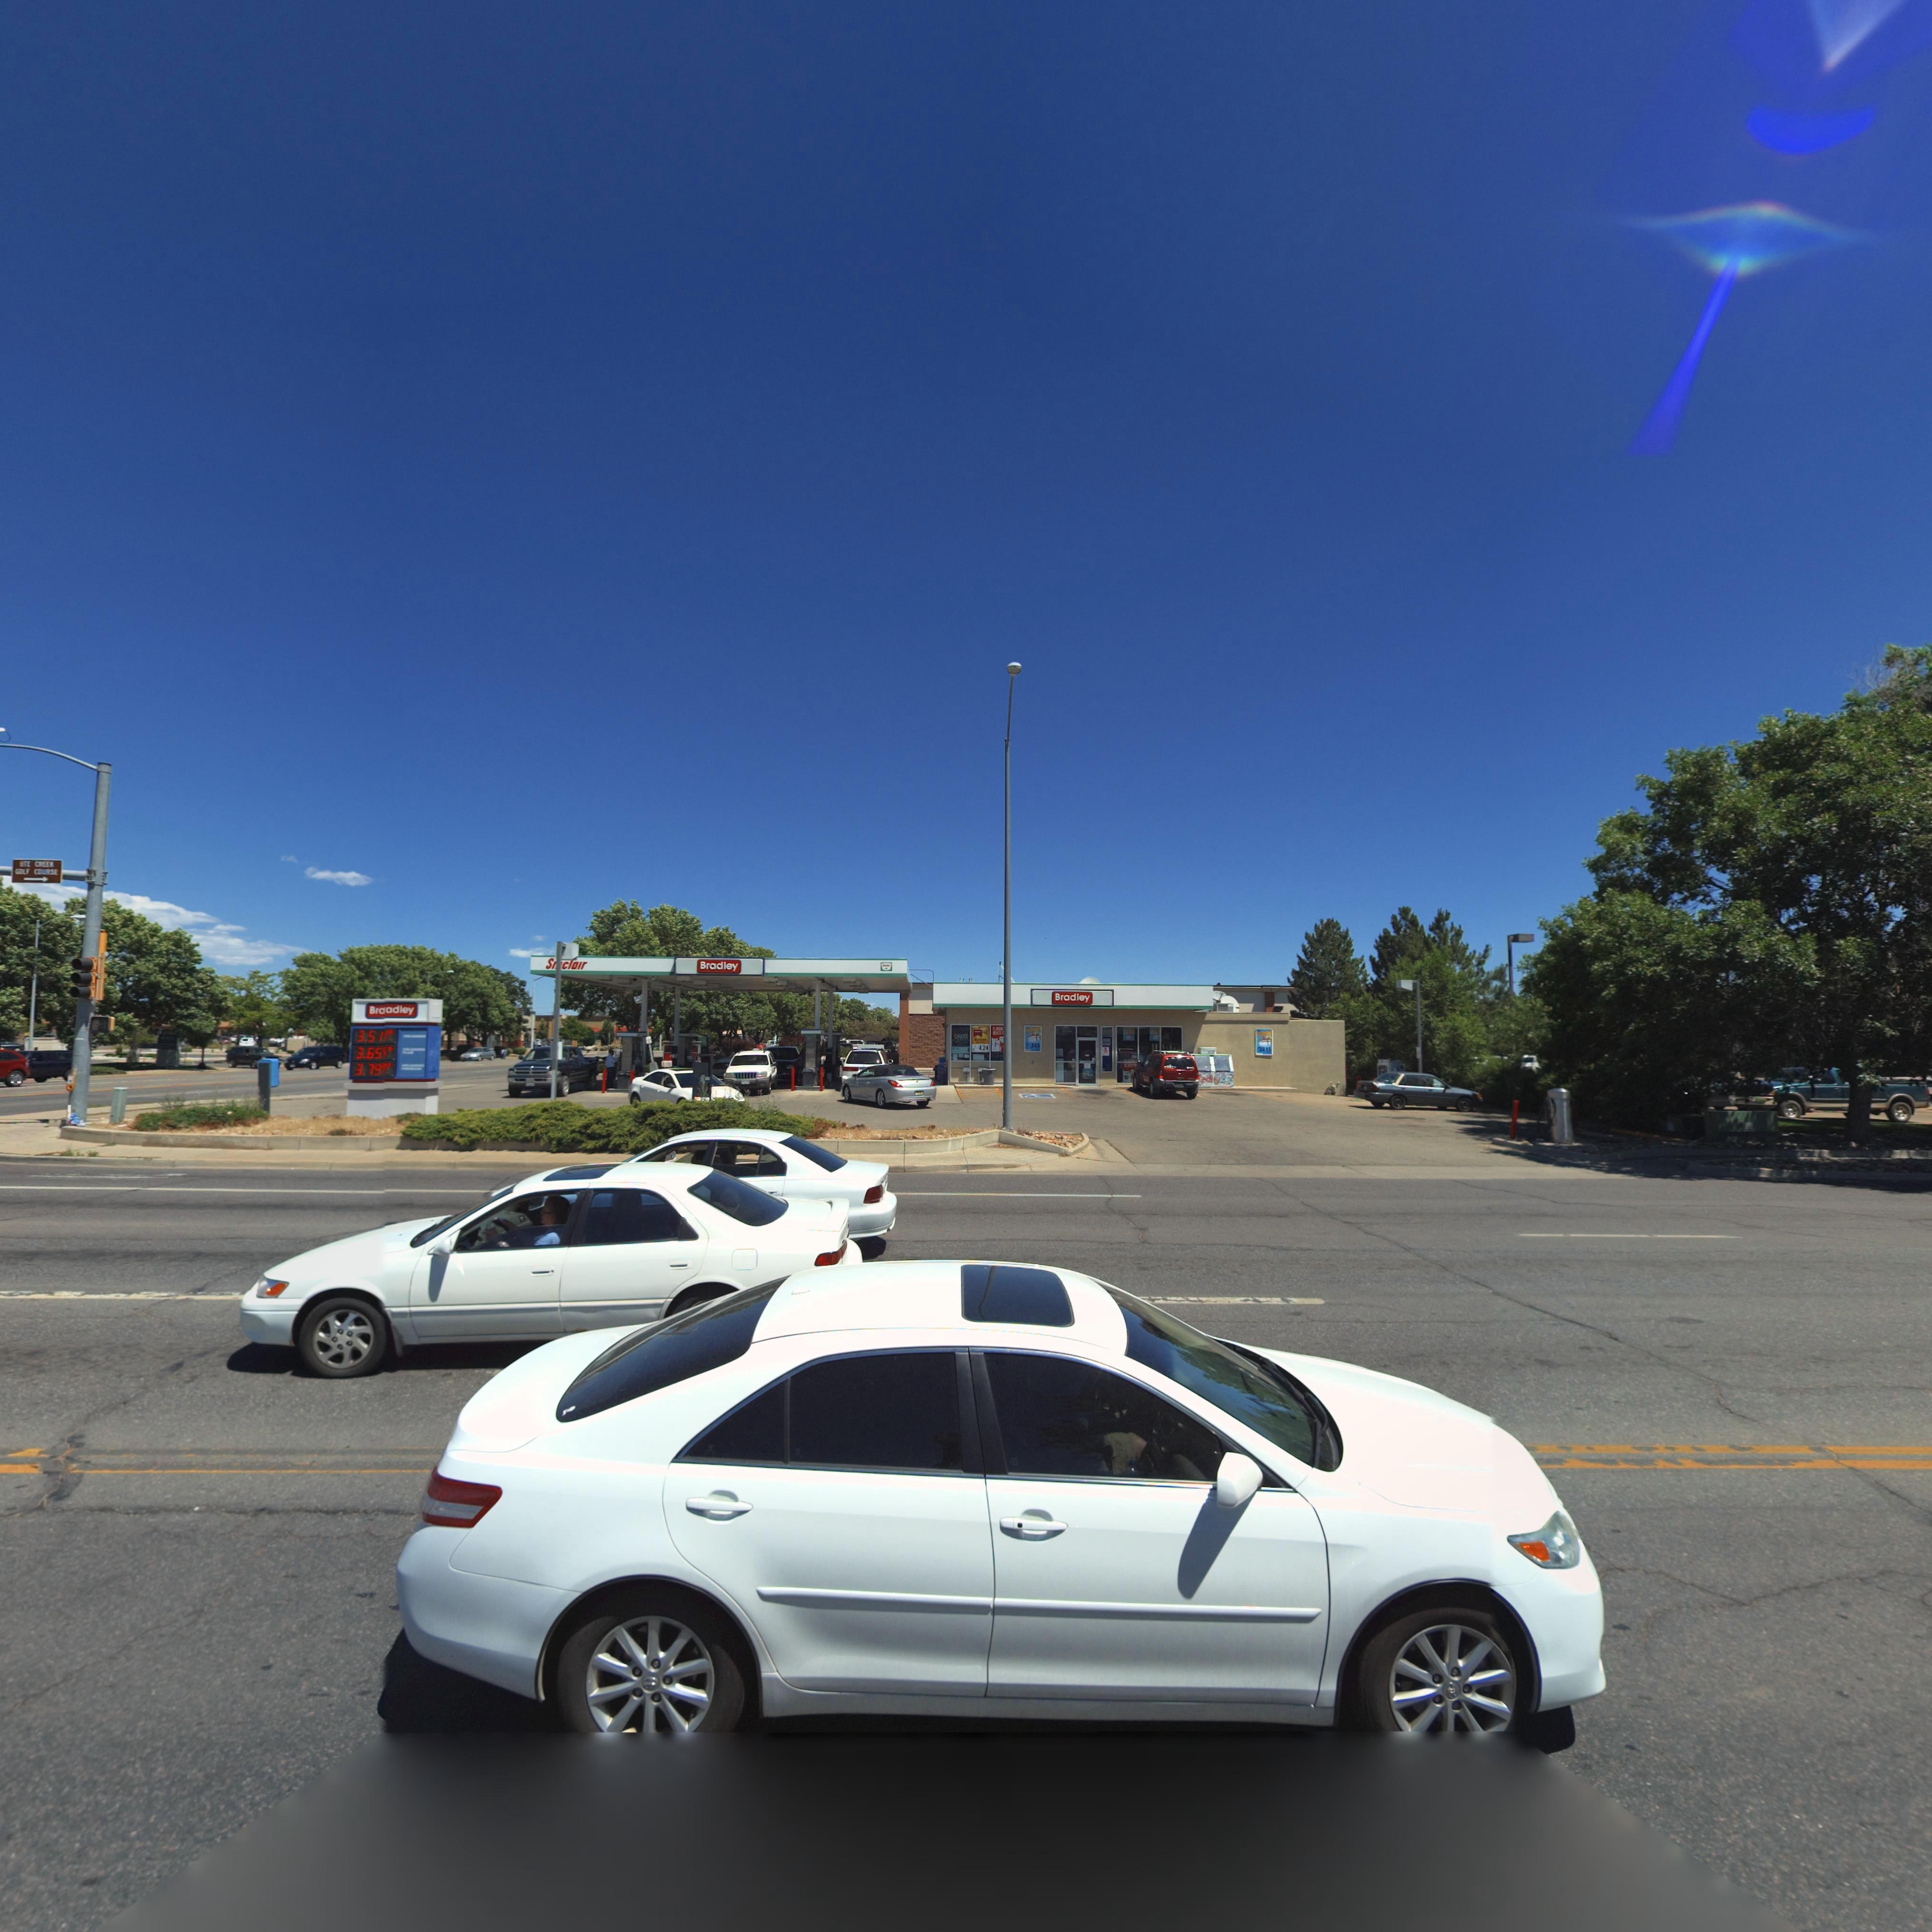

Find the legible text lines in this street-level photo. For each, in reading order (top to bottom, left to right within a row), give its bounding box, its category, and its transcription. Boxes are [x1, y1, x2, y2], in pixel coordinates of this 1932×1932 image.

[546, 957, 588, 970] BusinessName: Si*clair
[700, 961, 739, 972] BusinessName: Bradley
[882, 963, 891, 966] BusinessName: S***l**r
[1054, 993, 1091, 1003] BusinessName: Bradley